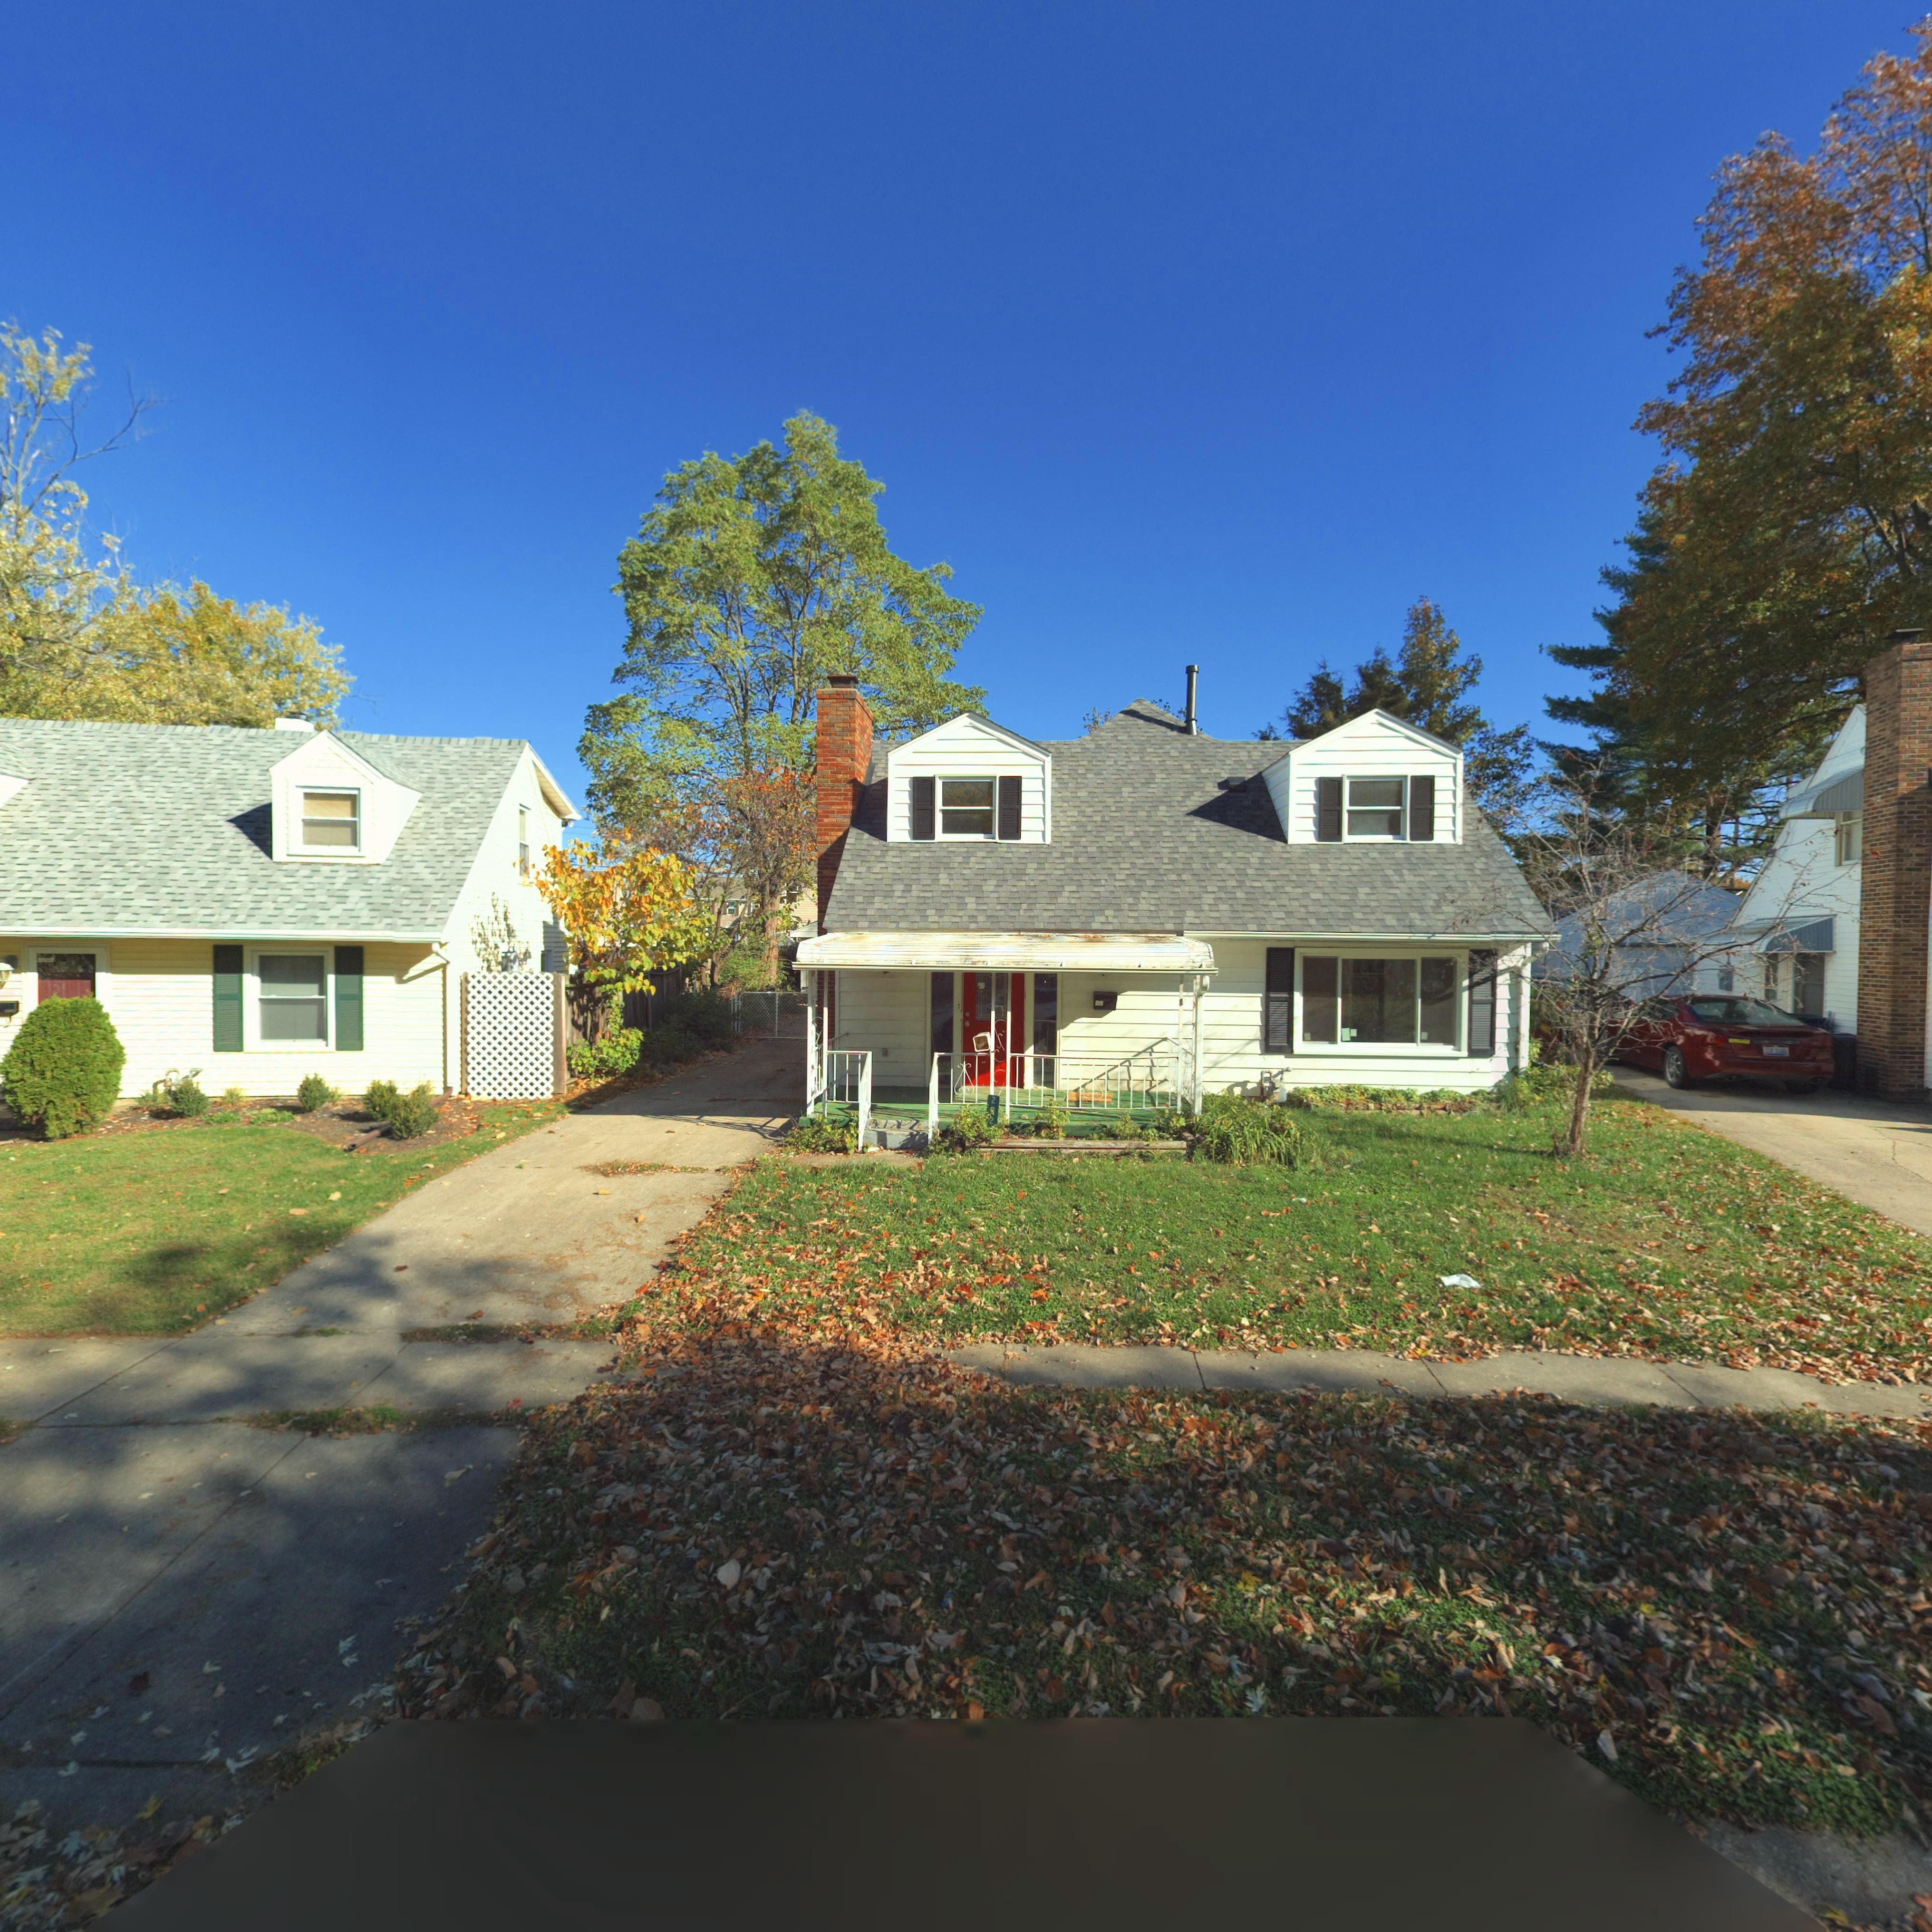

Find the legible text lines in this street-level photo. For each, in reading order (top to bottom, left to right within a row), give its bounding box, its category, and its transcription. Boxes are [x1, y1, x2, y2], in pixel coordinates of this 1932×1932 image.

[987, 1095, 997, 1125] StreetNumber: 2*2